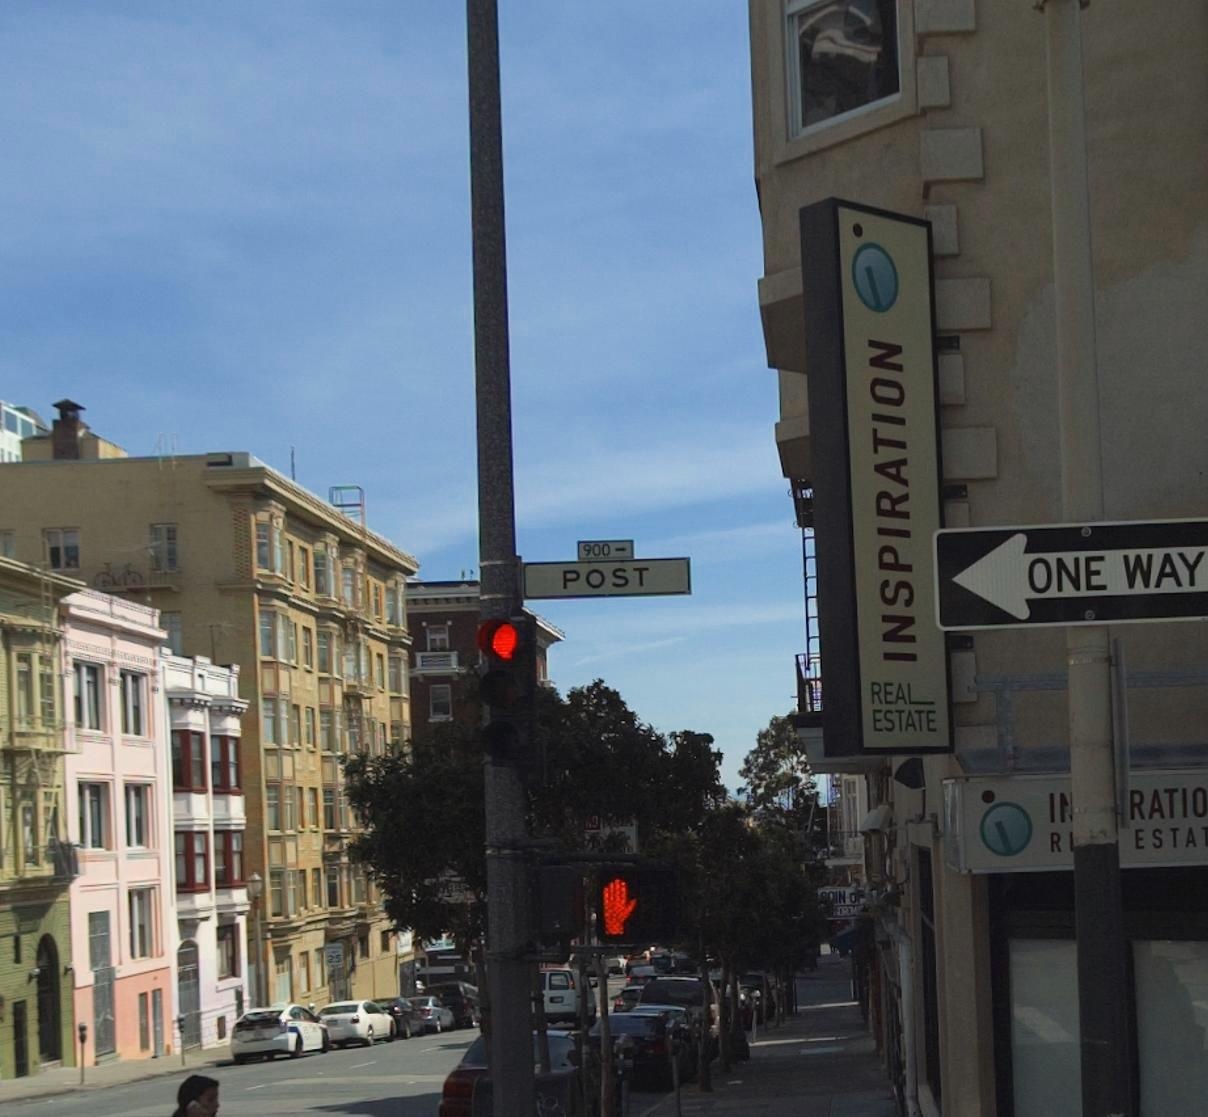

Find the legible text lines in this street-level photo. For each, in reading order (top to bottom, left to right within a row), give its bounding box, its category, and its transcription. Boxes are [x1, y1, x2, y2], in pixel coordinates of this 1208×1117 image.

[863, 335, 925, 666] BusinessName: INSPIRATION
[580, 541, 631, 558] StreetNumberRange: 900->
[560, 565, 652, 592] StreetName: POST
[1024, 547, 1207, 597] None: ONE WAY
[867, 678, 925, 708] BusinessName: REAL
[870, 706, 941, 736] BusinessName: ESTATE
[1046, 783, 1208, 826] BusinessName: I****RATIO
[1048, 824, 1200, 856] BusinessName: R*** ESTA
[836, 904, 850, 918] None: OR
[834, 888, 858, 906] BusinessName: IN o
[324, 951, 344, 966] None: 25